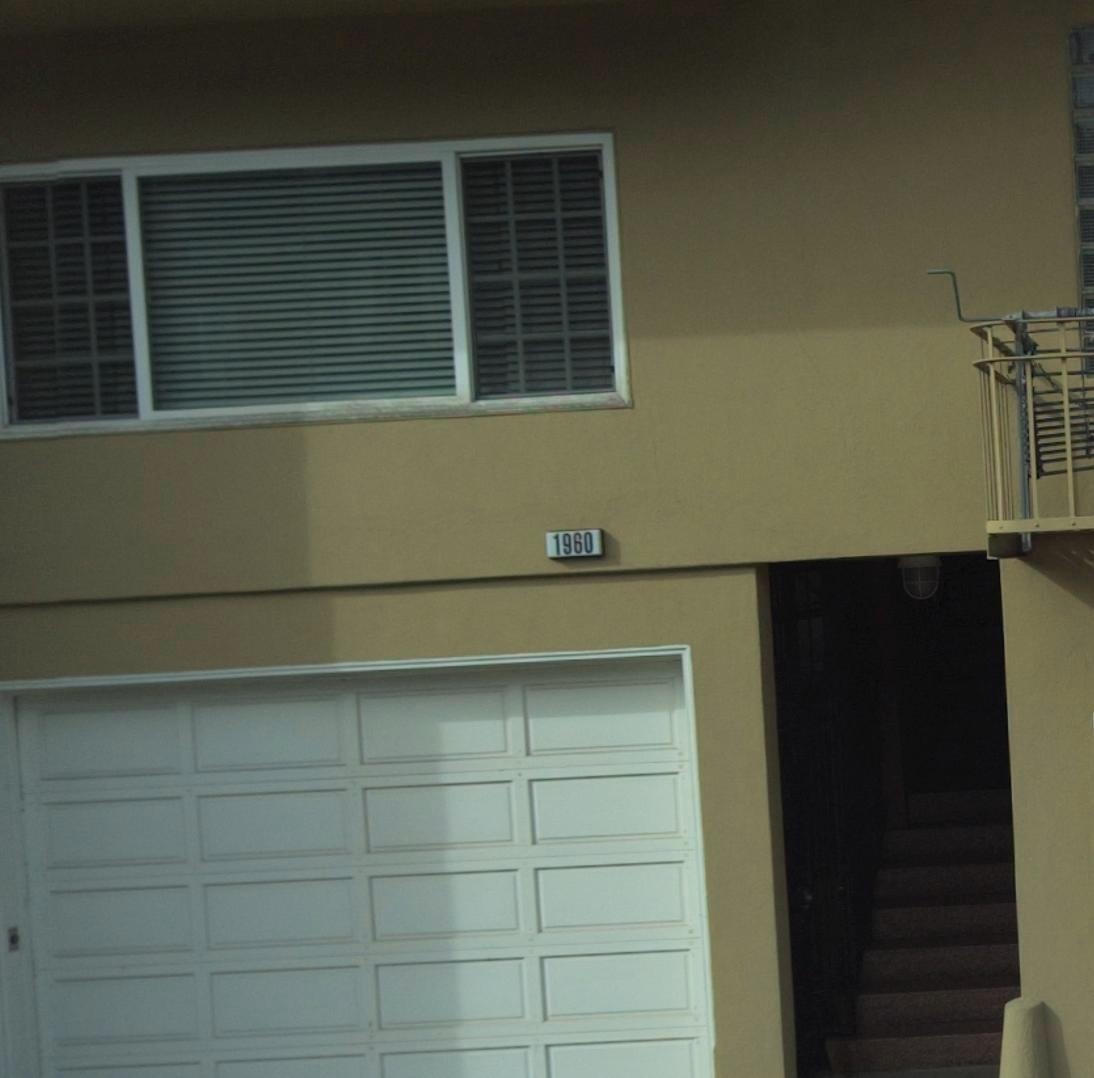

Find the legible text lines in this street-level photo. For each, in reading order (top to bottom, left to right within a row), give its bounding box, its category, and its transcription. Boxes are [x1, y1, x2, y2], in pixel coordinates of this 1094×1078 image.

[550, 529, 596, 558] StreetNumber: 1960